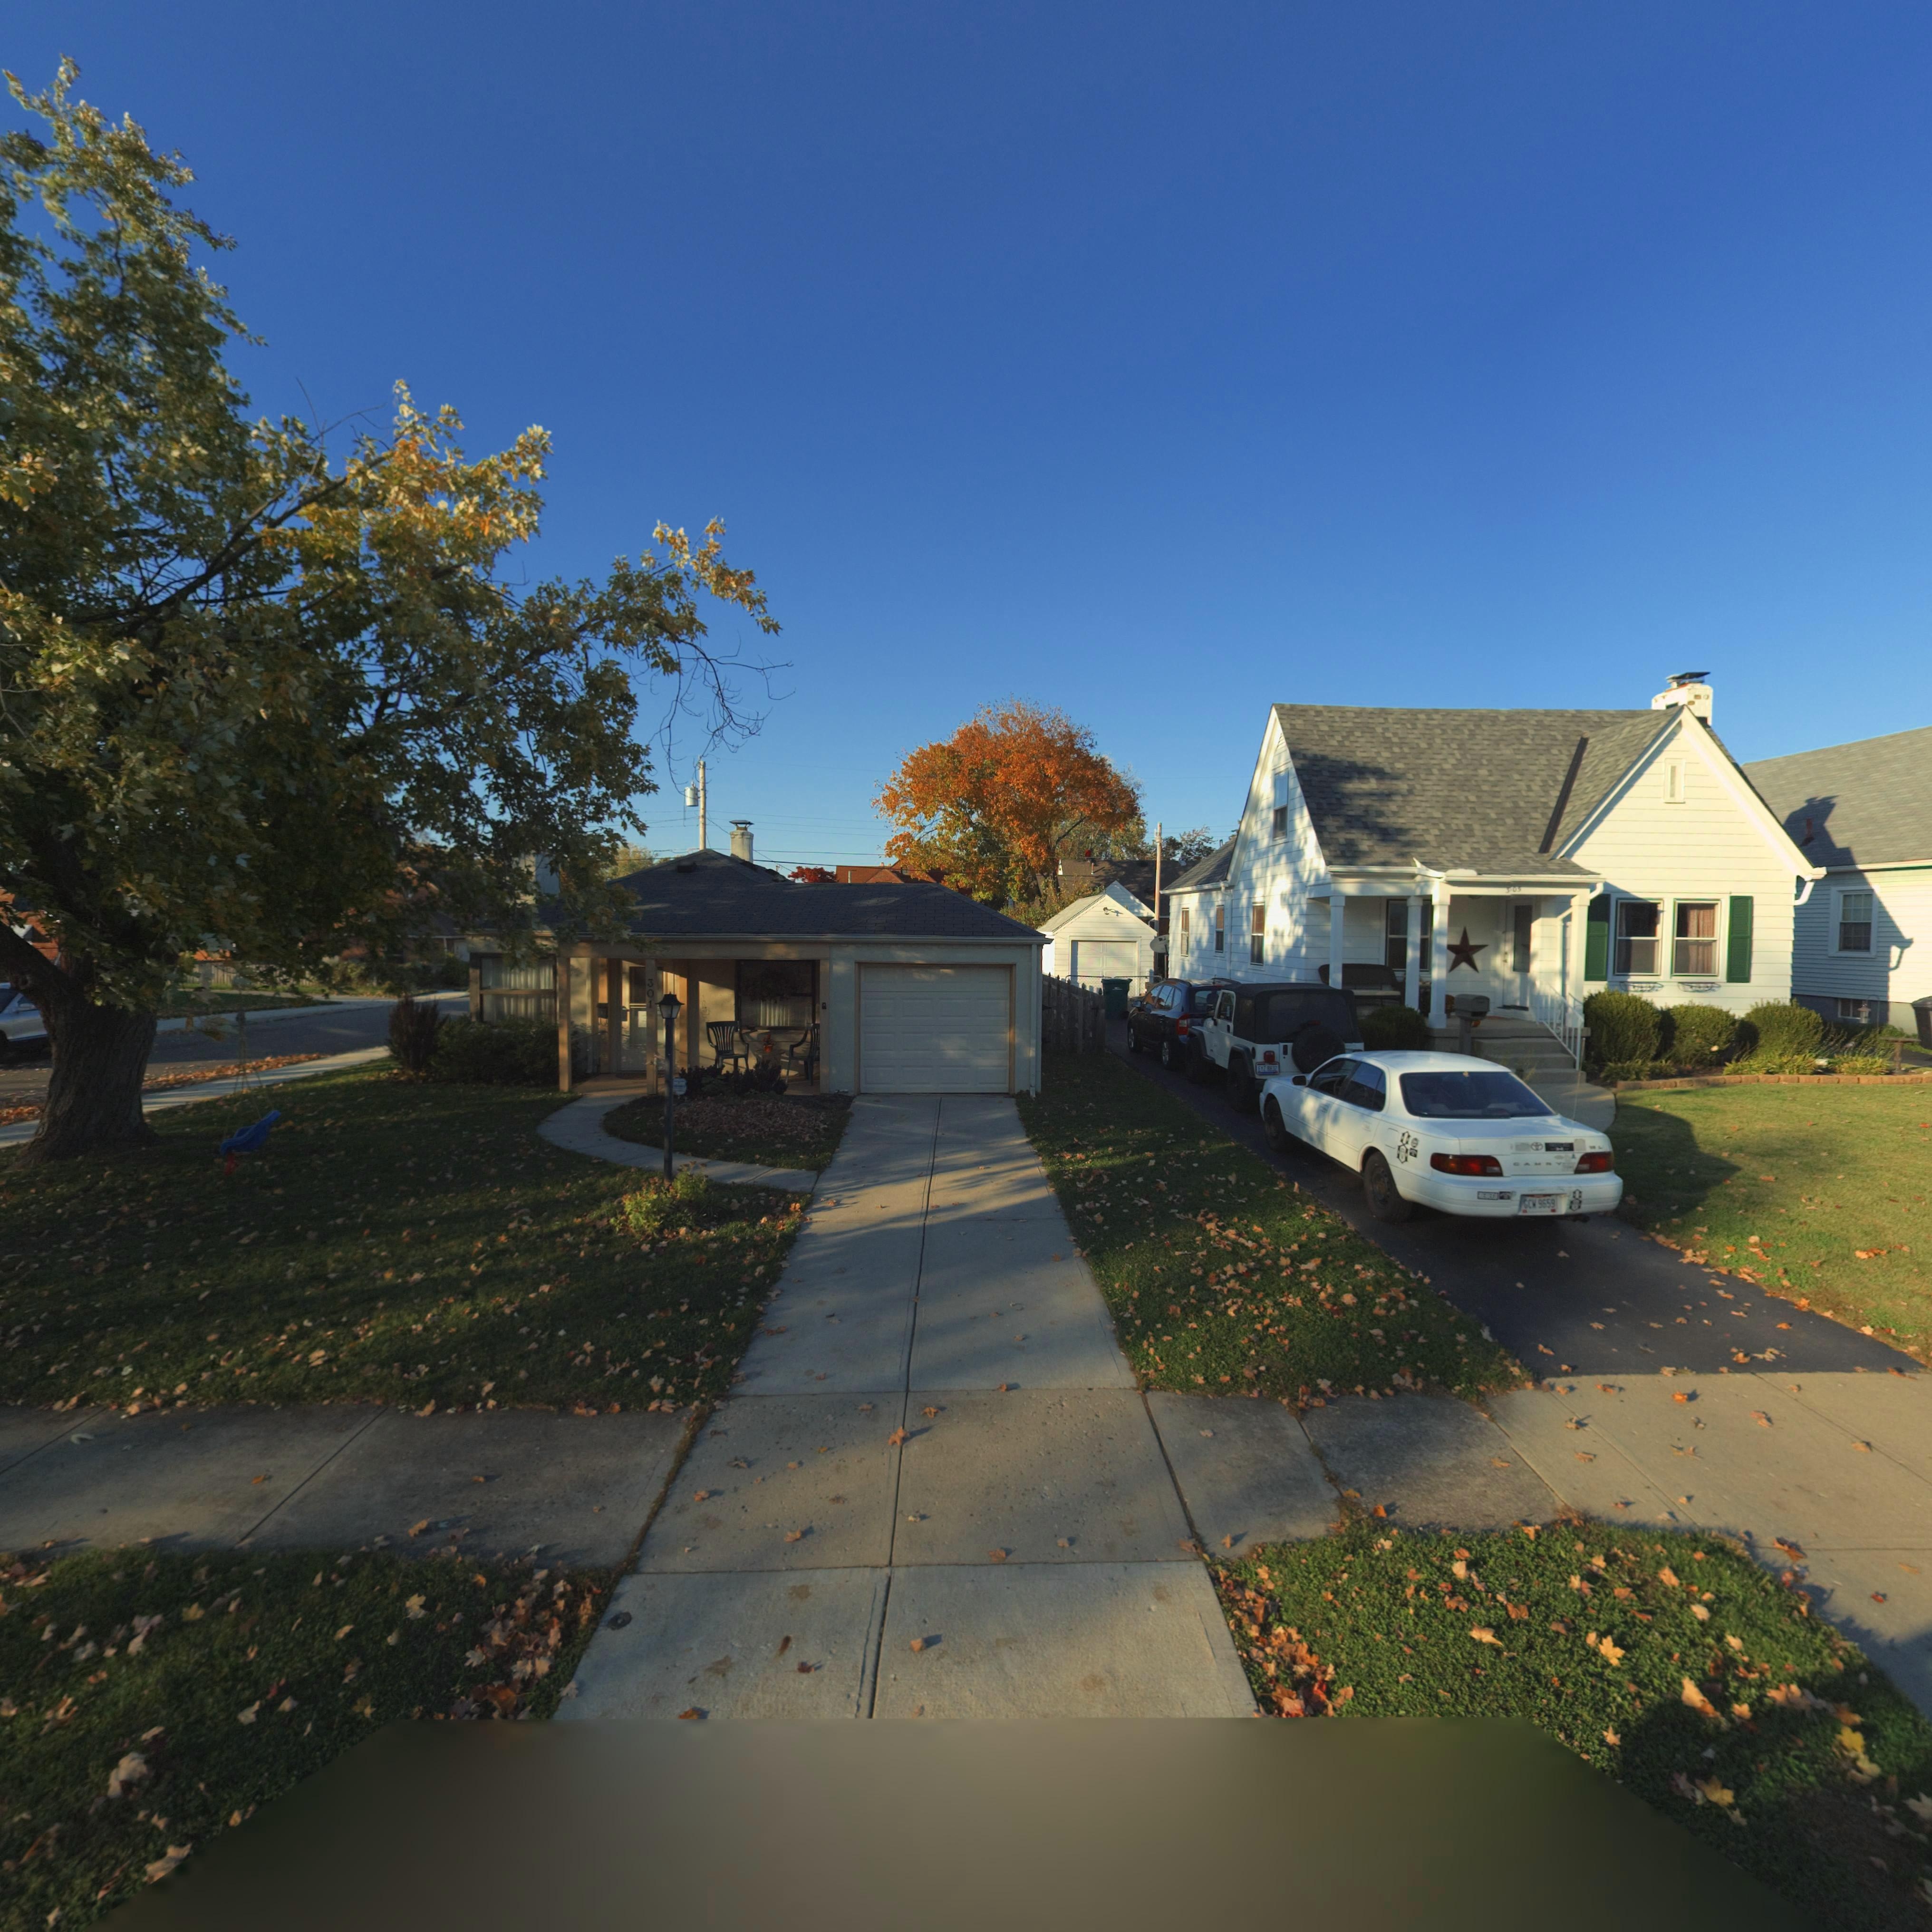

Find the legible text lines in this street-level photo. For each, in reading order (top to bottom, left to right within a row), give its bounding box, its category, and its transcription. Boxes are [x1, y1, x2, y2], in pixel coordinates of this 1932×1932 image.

[1504, 886, 1522, 893] StreetNumber: 3*05
[647, 978, 654, 1008] StreetNumber: 301